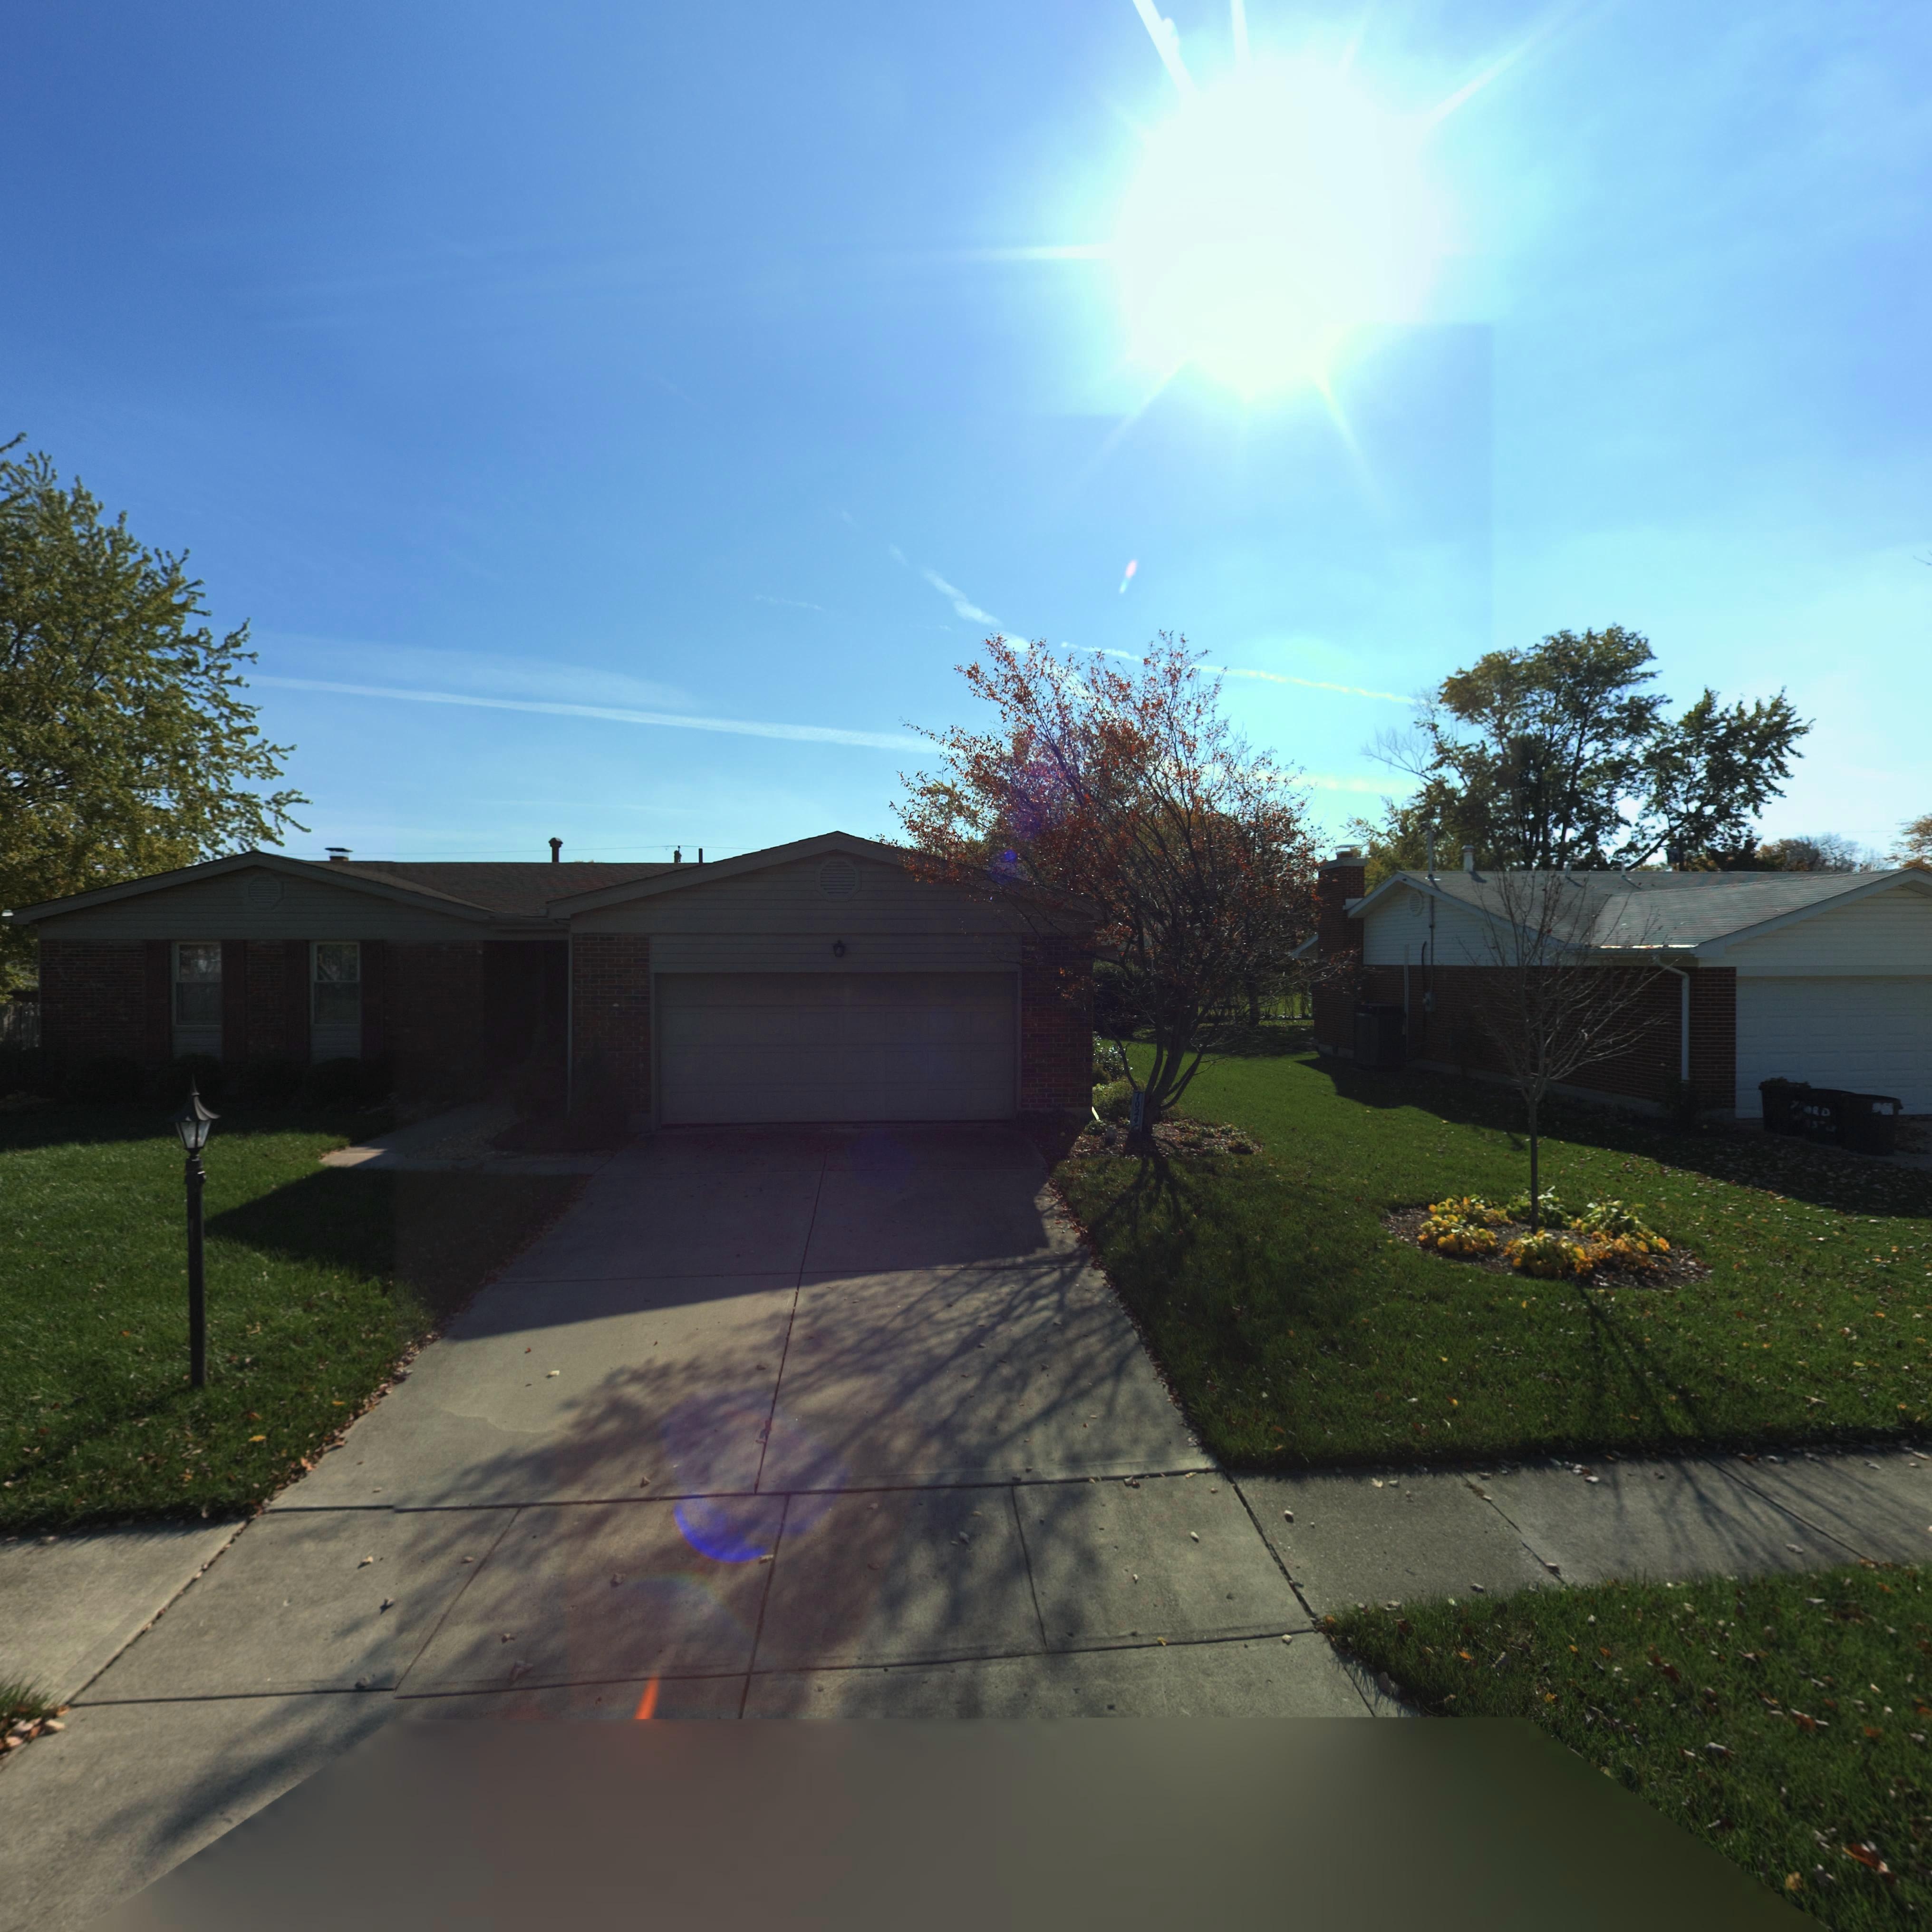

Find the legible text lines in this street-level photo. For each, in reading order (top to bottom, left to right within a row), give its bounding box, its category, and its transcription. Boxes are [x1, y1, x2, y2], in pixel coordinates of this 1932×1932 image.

[1132, 1092, 1142, 1123] StreetNumber: 1024